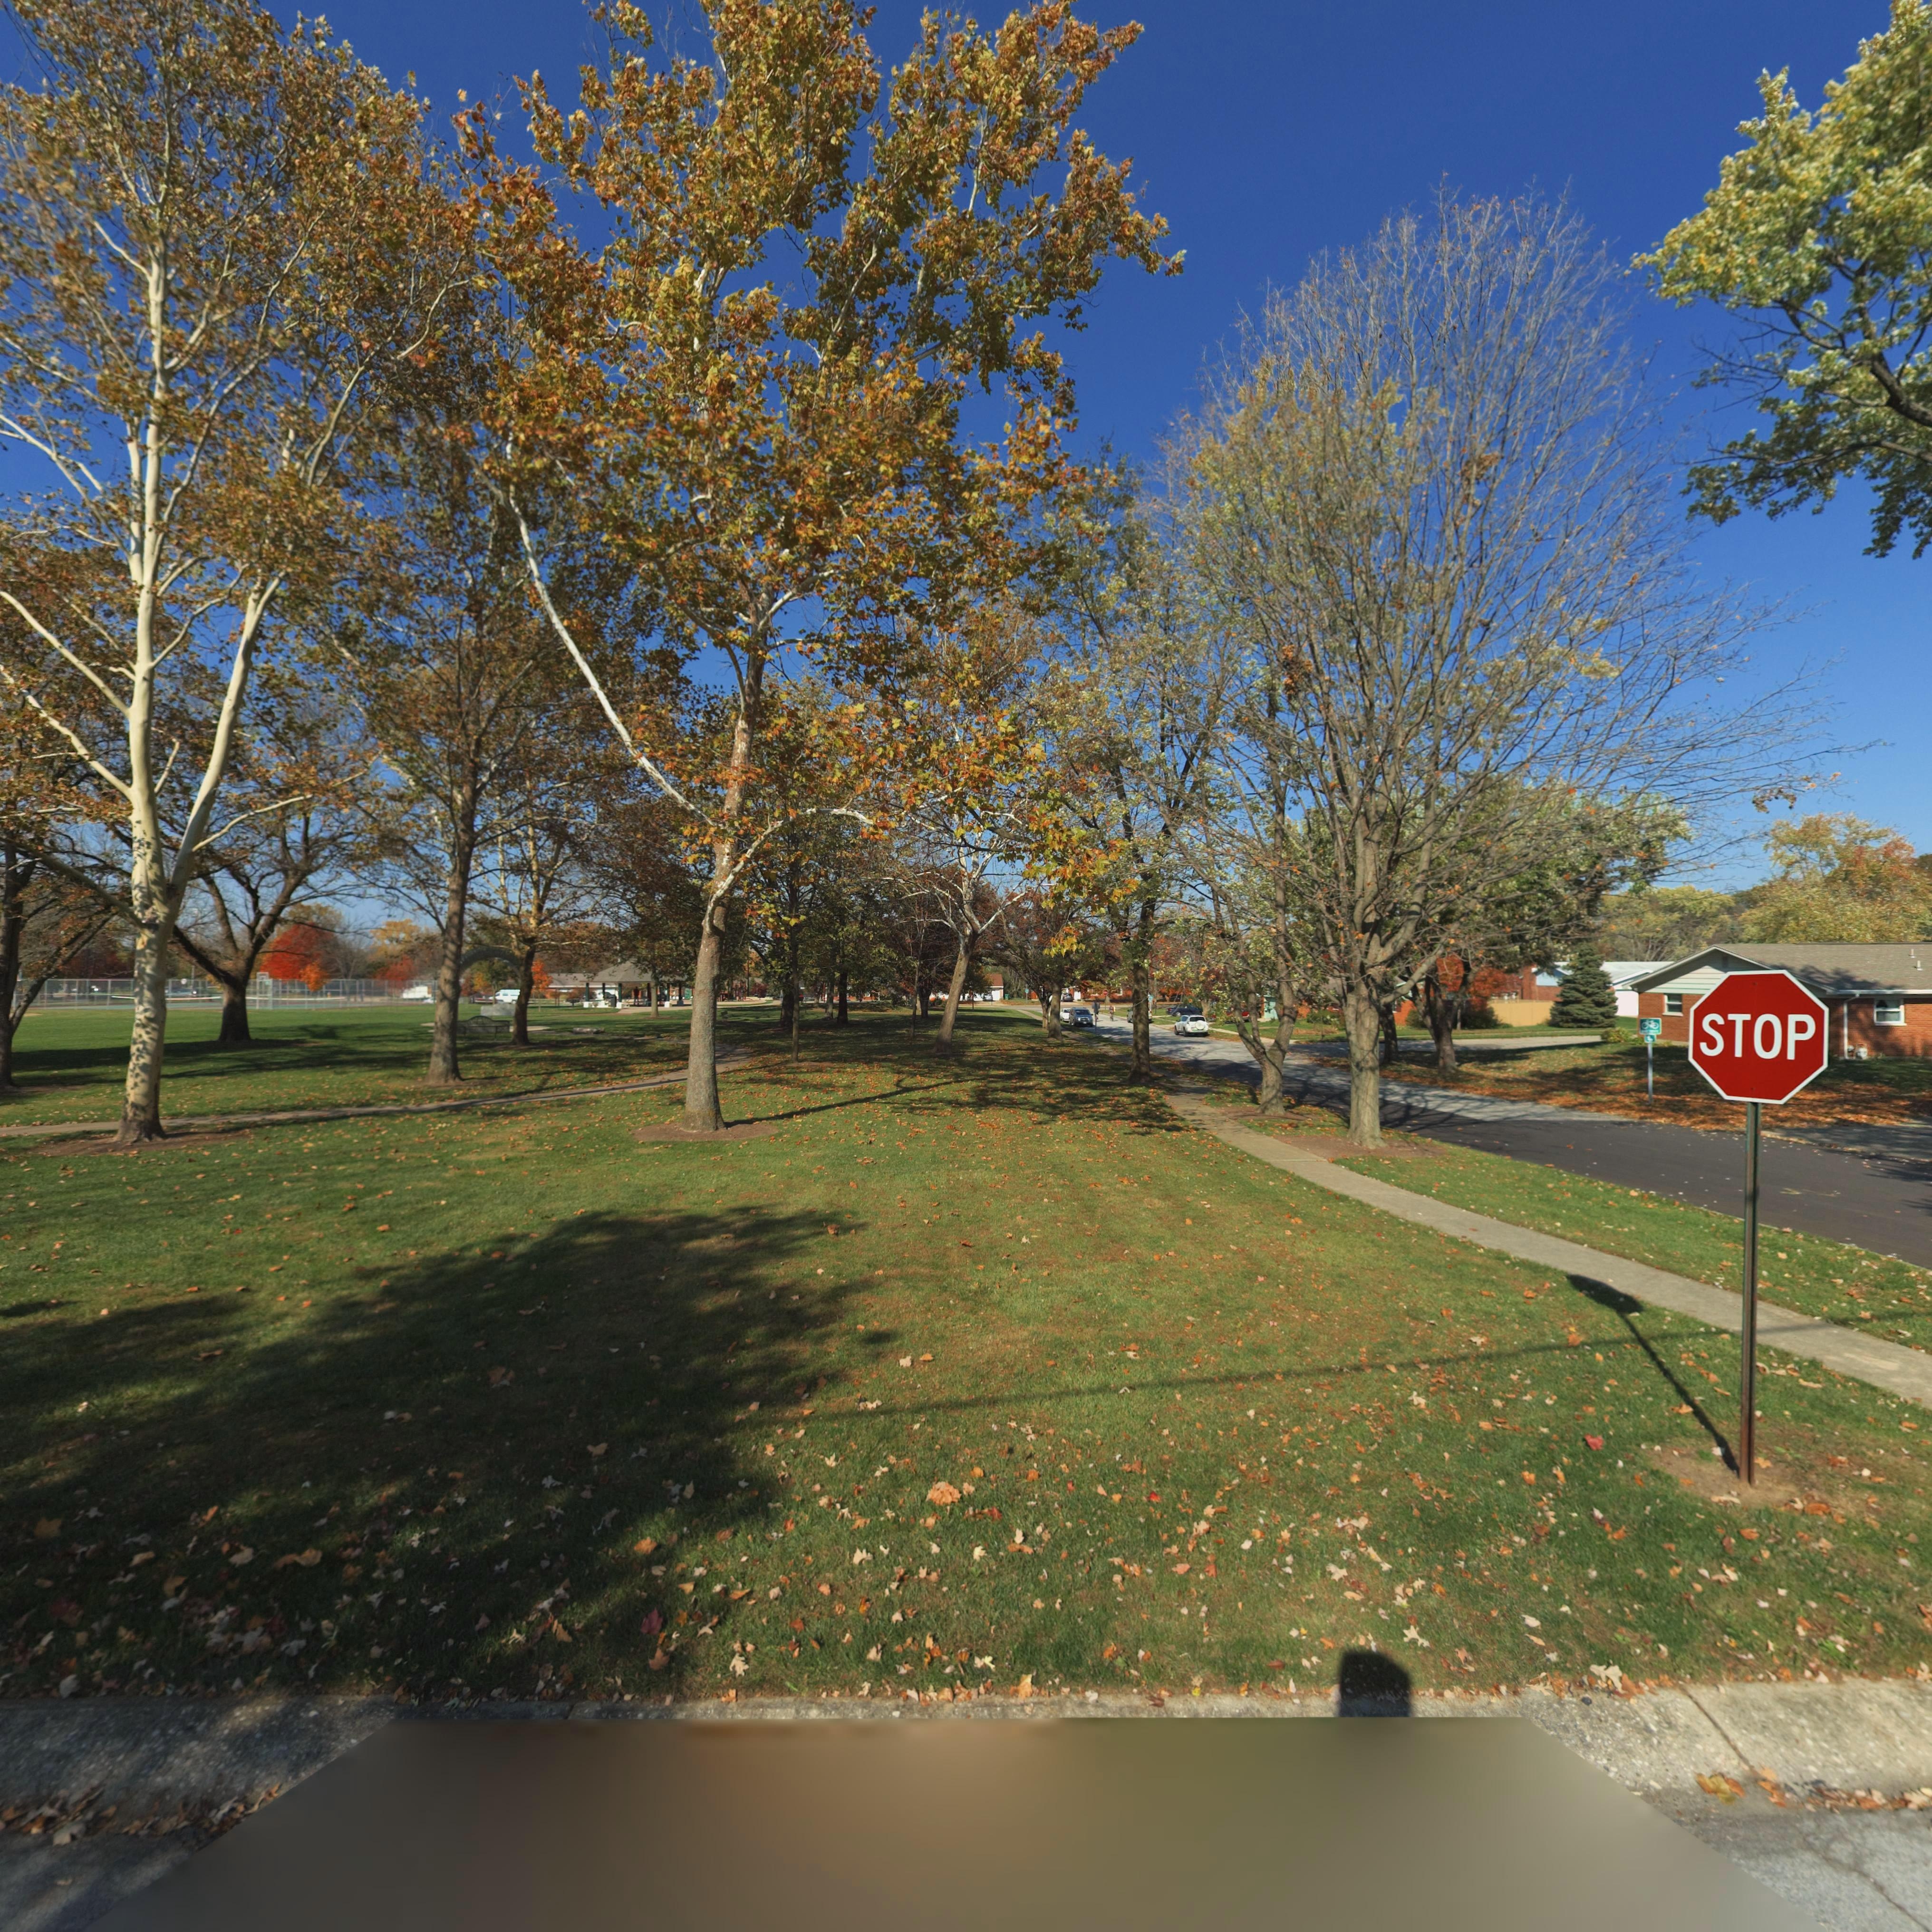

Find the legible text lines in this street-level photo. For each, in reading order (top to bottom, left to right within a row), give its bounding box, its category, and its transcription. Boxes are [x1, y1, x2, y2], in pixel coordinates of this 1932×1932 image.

[1697, 1009, 1819, 1063] None: STOP